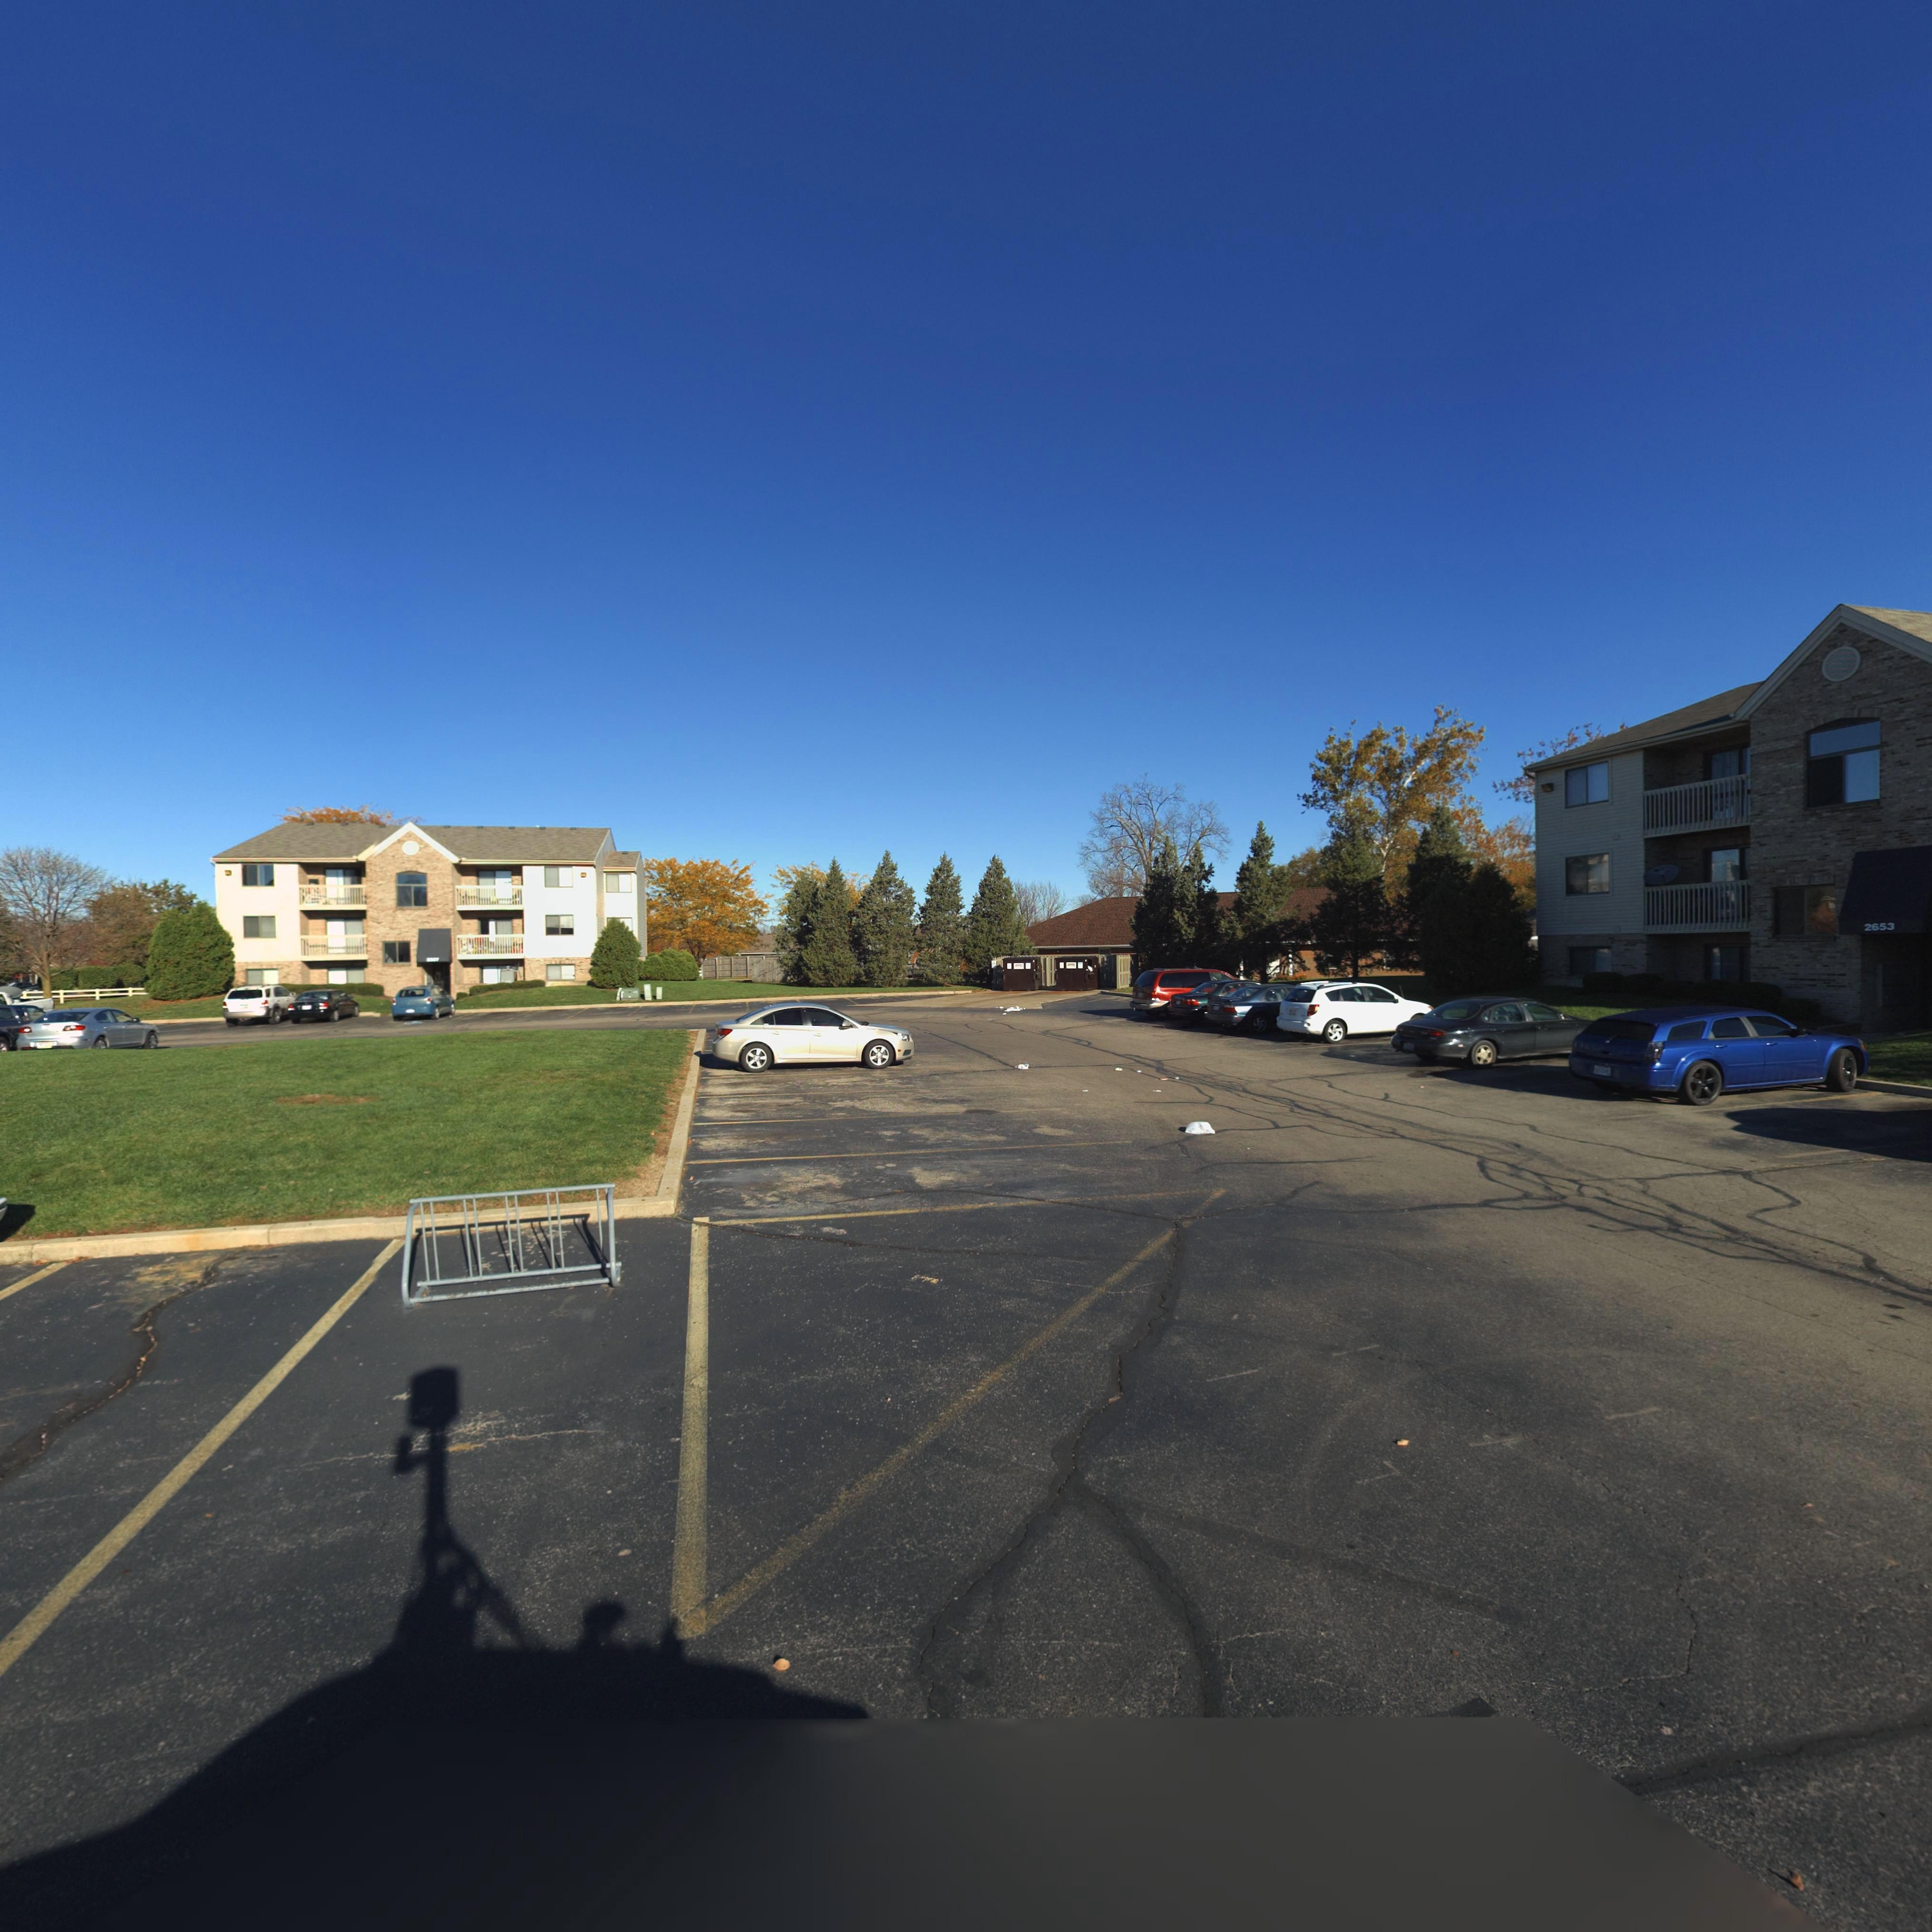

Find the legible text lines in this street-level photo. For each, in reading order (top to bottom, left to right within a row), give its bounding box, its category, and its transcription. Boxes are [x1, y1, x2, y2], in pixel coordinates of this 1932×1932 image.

[1862, 920, 1897, 933] StreetNumber: 2653